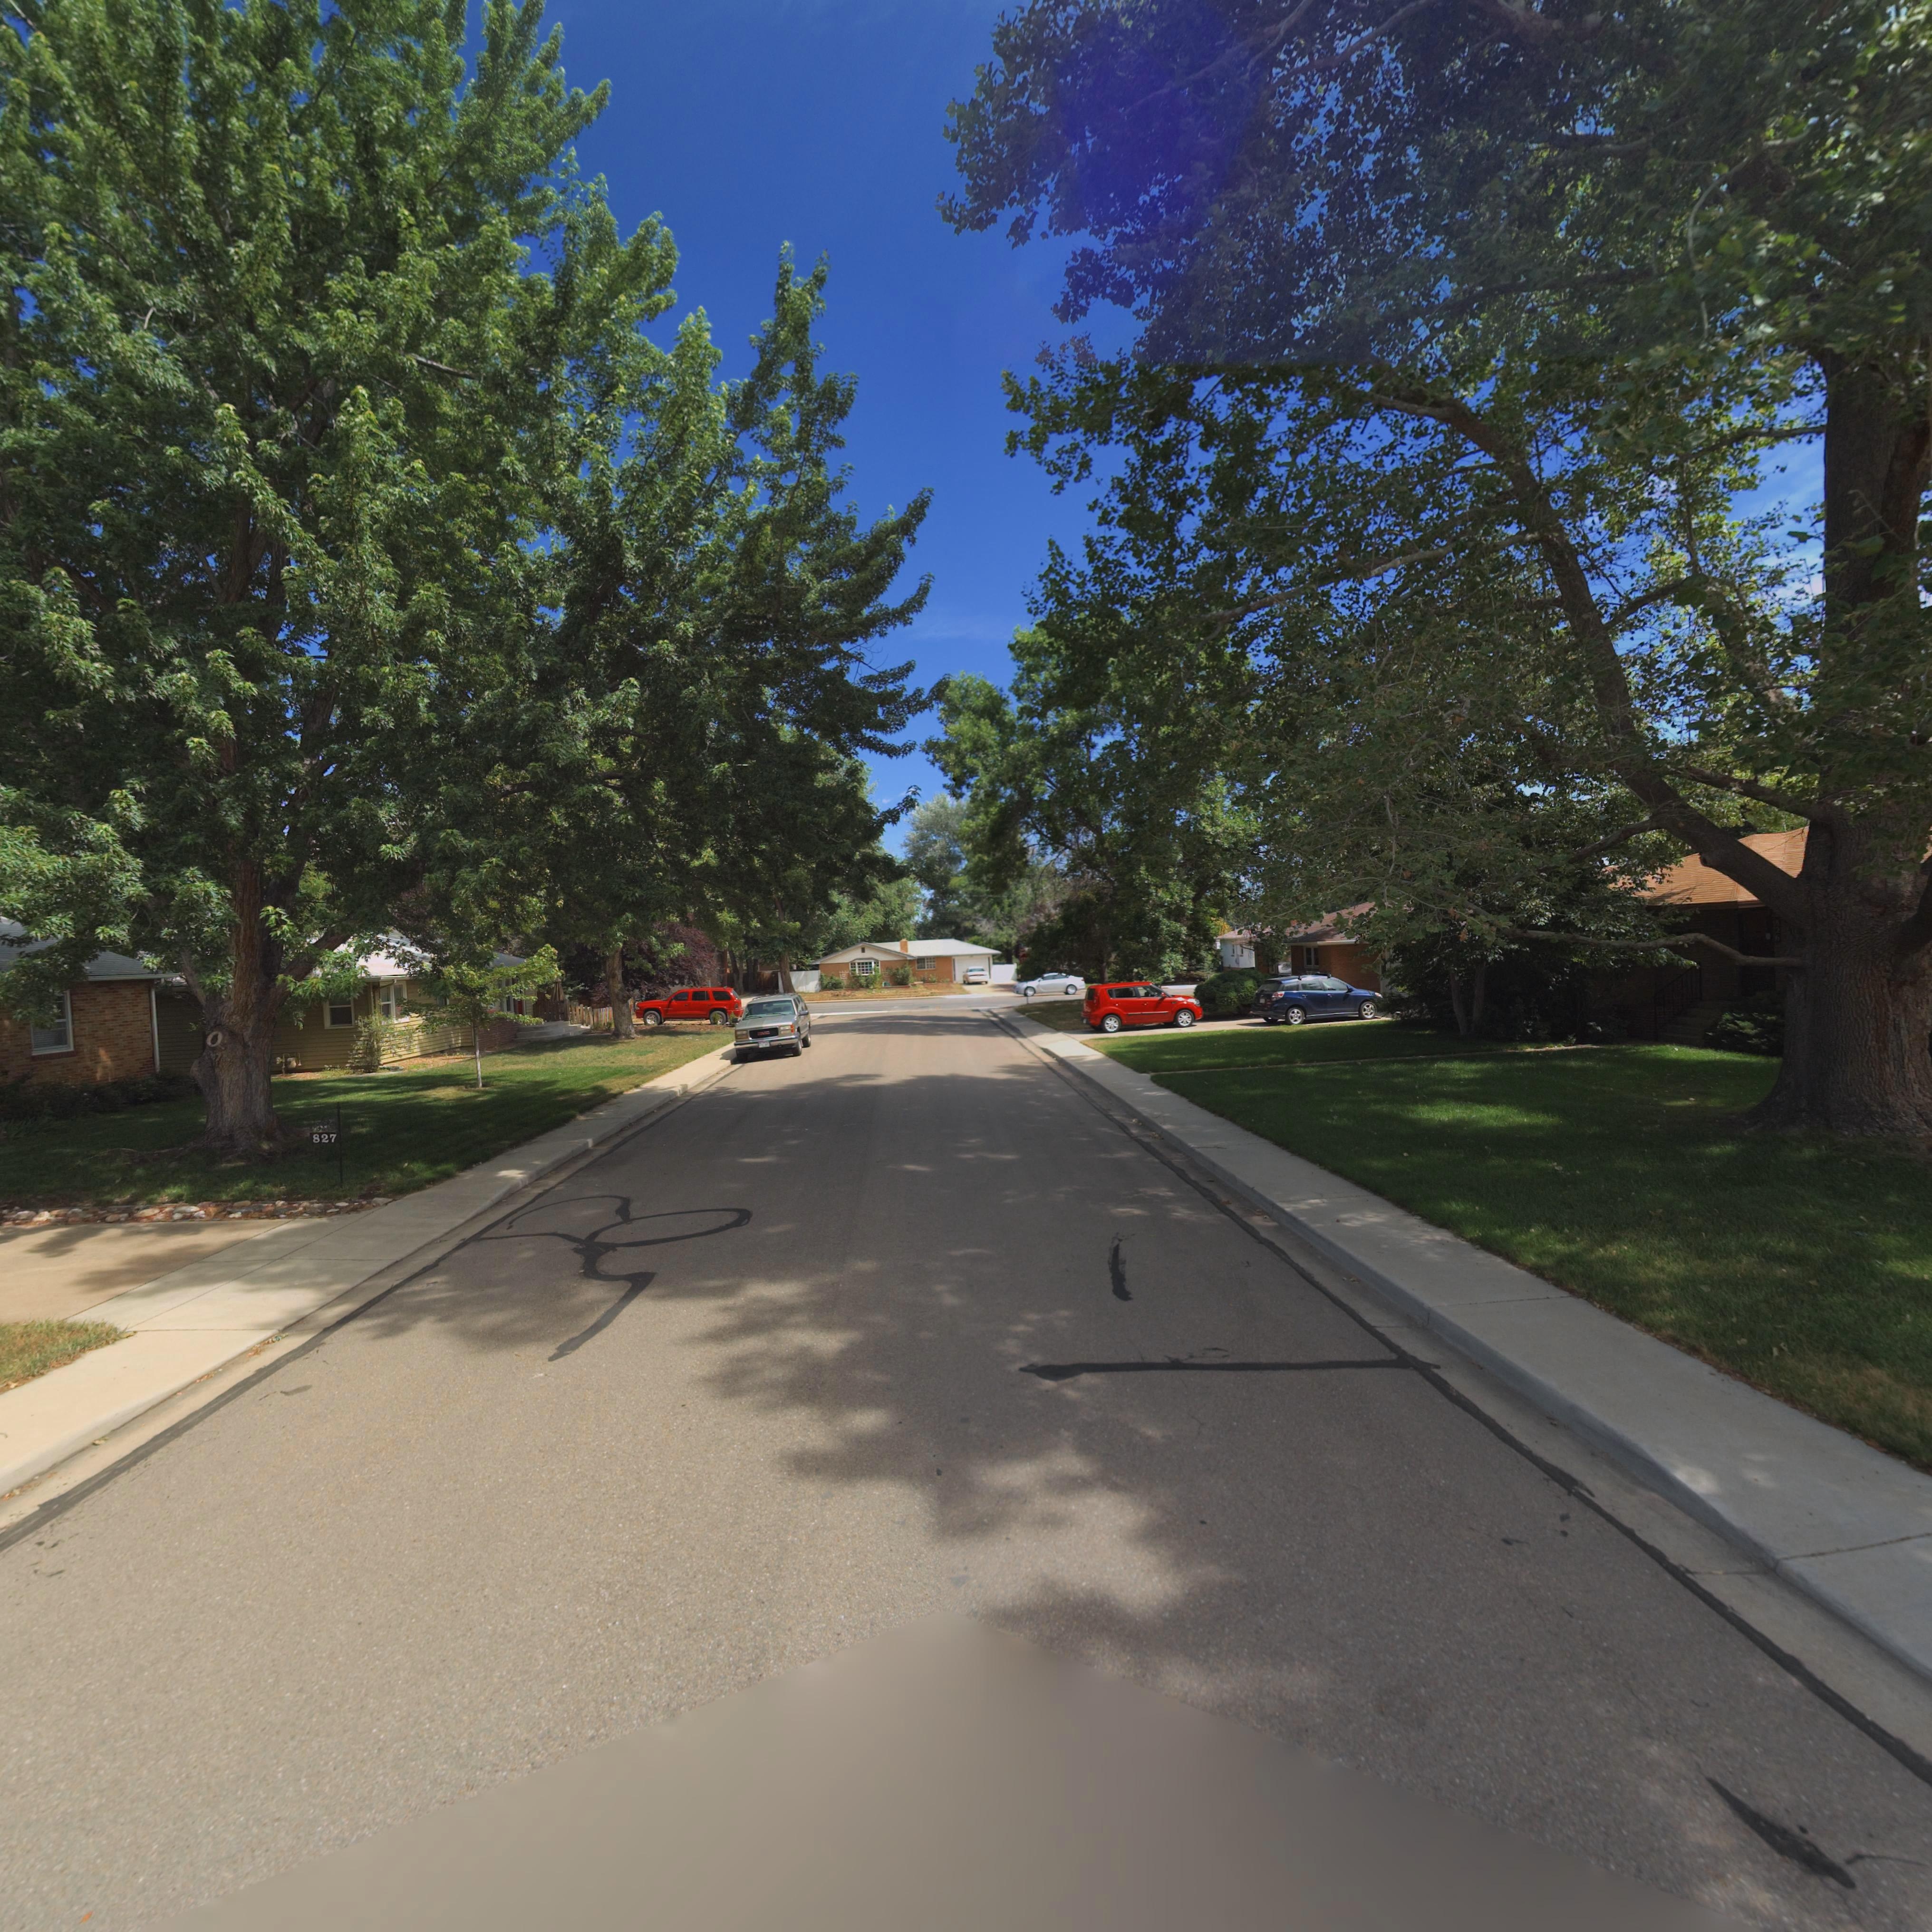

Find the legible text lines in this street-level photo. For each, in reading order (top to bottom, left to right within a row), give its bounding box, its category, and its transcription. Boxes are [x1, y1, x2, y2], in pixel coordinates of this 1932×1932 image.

[313, 1133, 337, 1142] StreetNumber: 827